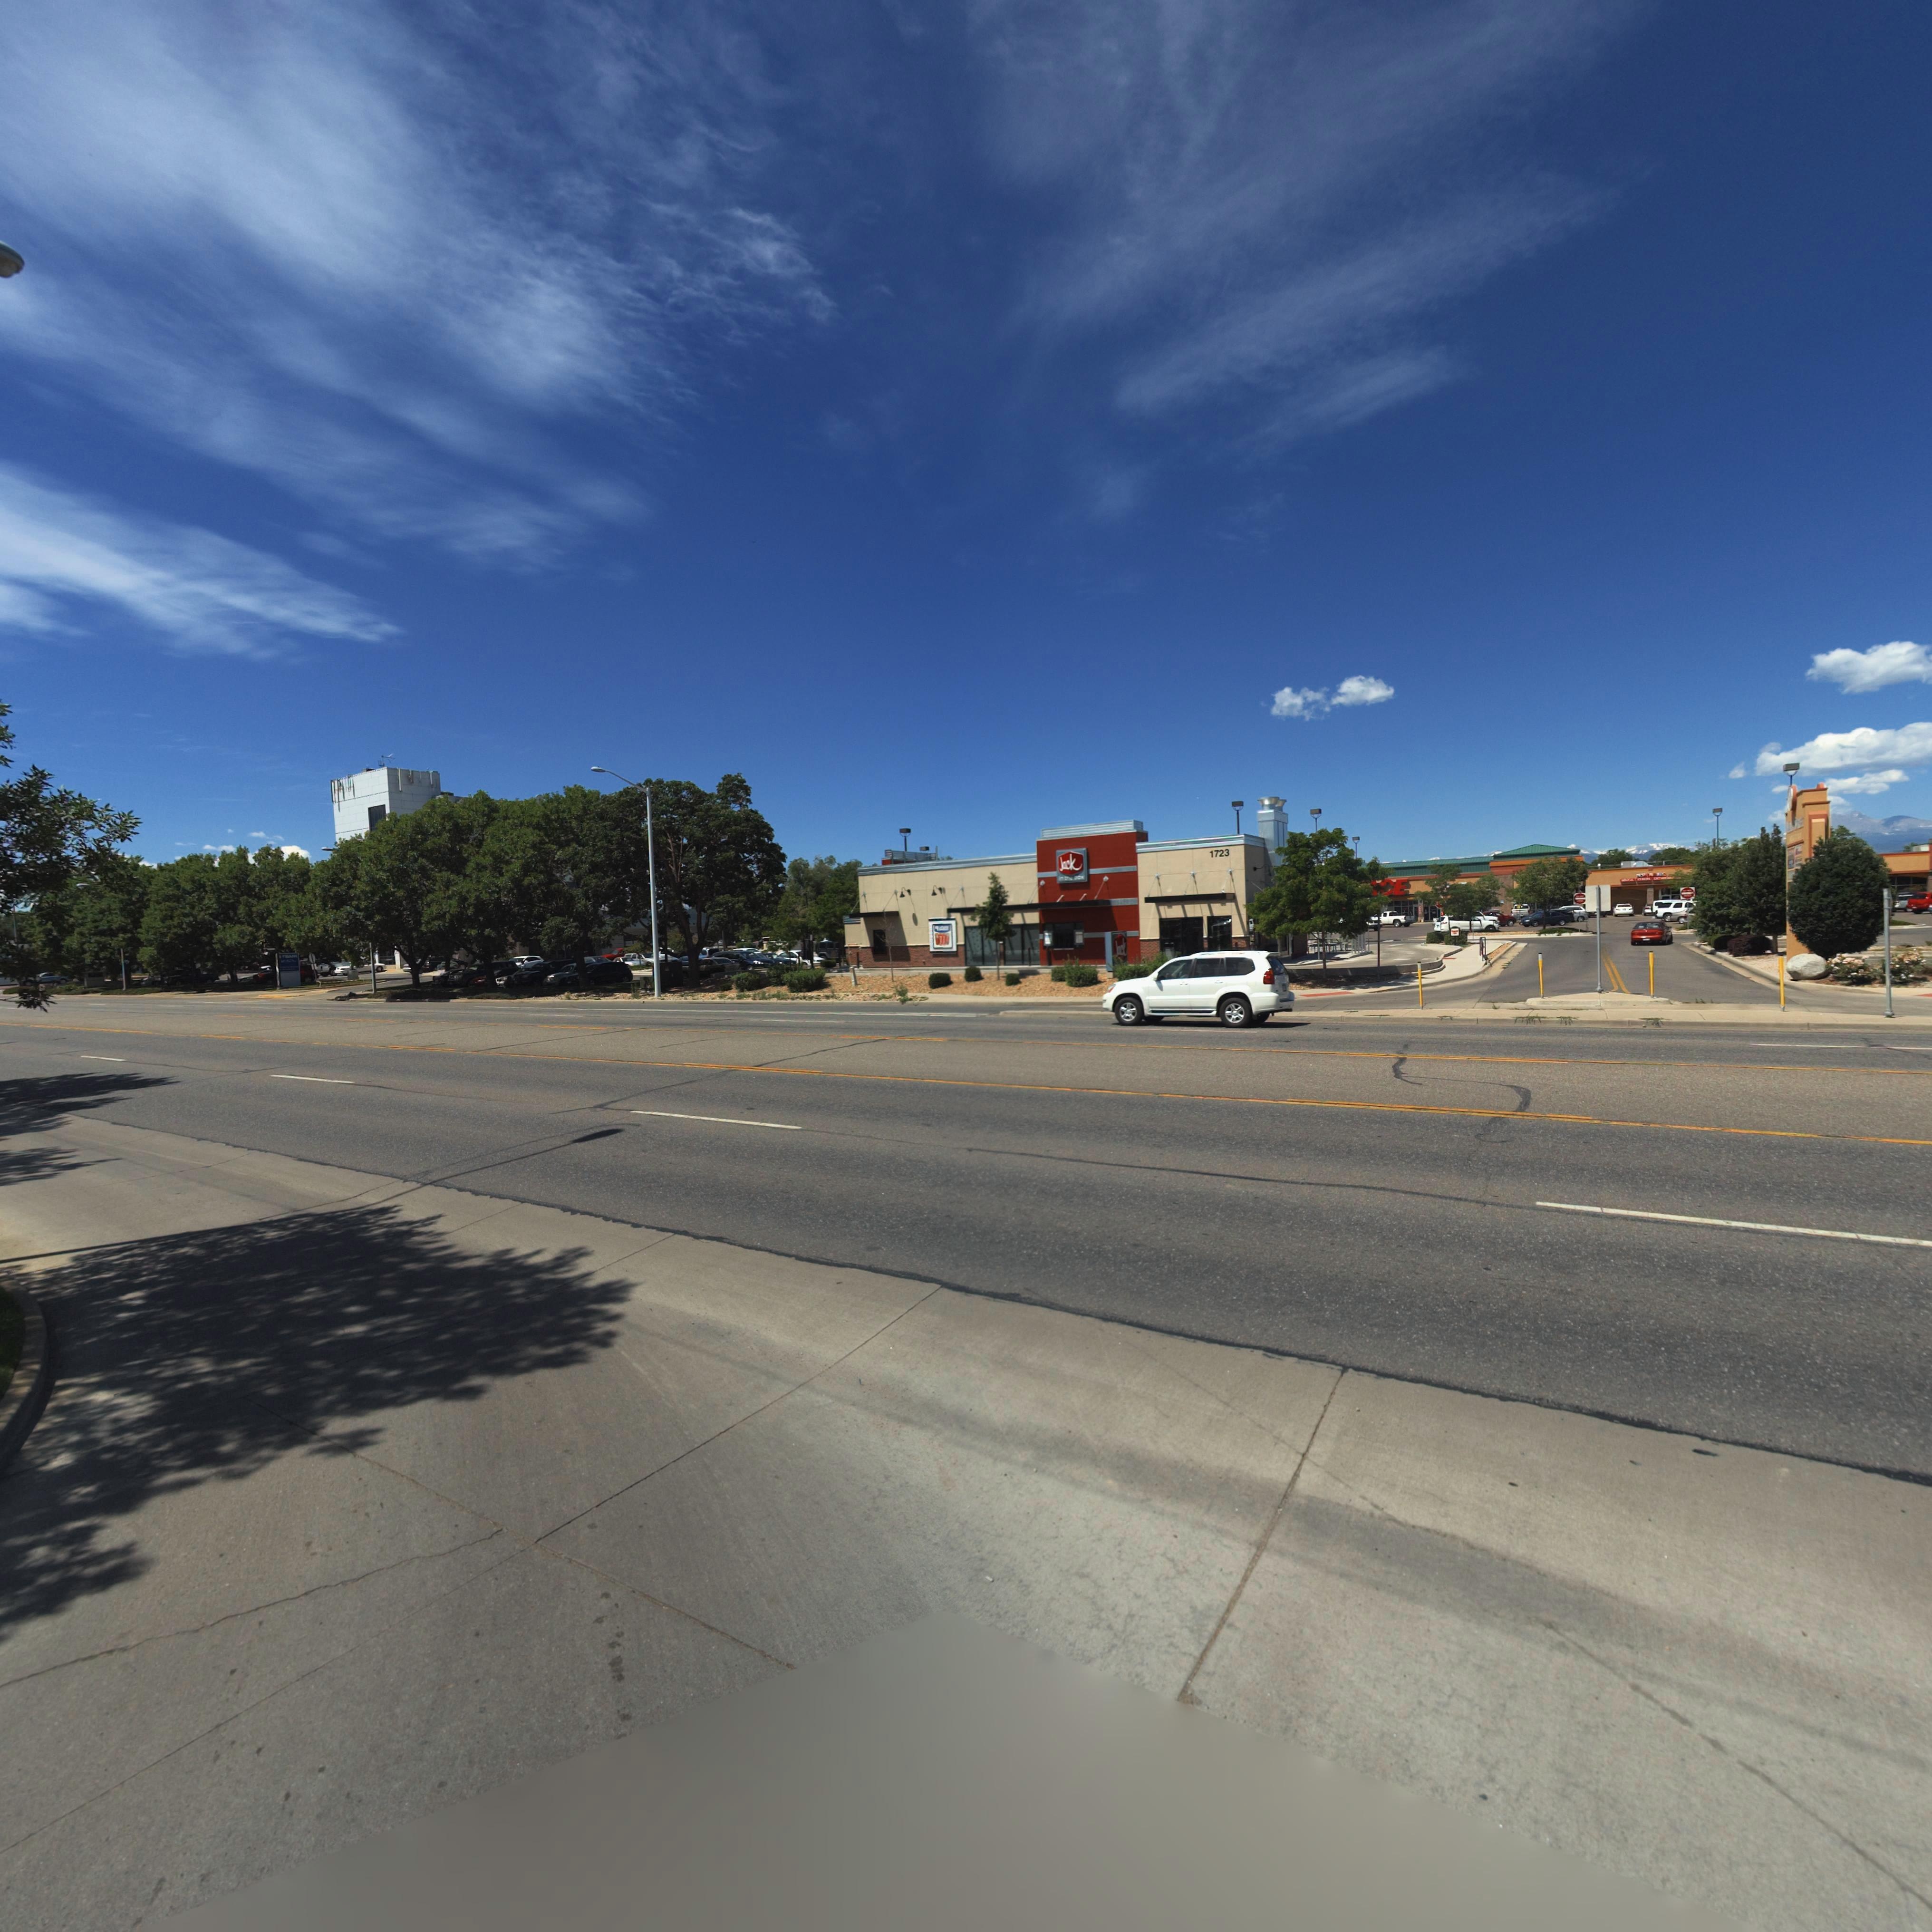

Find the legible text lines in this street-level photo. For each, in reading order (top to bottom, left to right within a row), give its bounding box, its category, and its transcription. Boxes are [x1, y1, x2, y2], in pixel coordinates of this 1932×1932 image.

[1058, 853, 1083, 871] BusinessName: Jack
[1208, 848, 1229, 858] StreetNumber: 1723
[1058, 875, 1085, 881] BusinessName: *n *** *o*
[1377, 878, 1409, 896] BusinessName: *E
[279, 954, 297, 958] BusinessName: ***BA**
[1114, 937, 1127, 957] BusinessName: J*c*